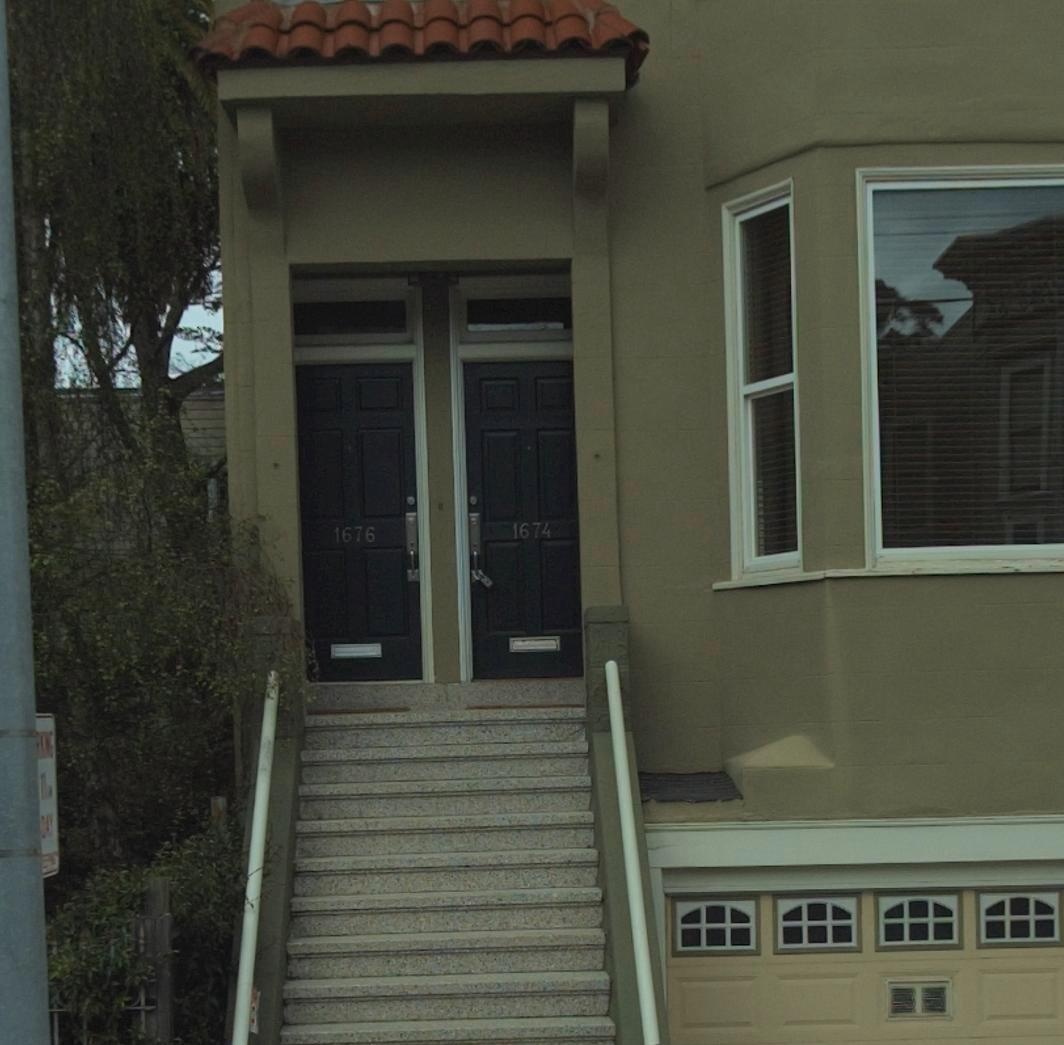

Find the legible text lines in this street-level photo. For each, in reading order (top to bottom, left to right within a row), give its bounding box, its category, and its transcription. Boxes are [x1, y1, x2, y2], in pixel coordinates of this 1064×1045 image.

[333, 524, 377, 545] StreetNumber: 1676
[511, 522, 552, 539] StreetNumber: 1674
[38, 811, 56, 841] None: DAY